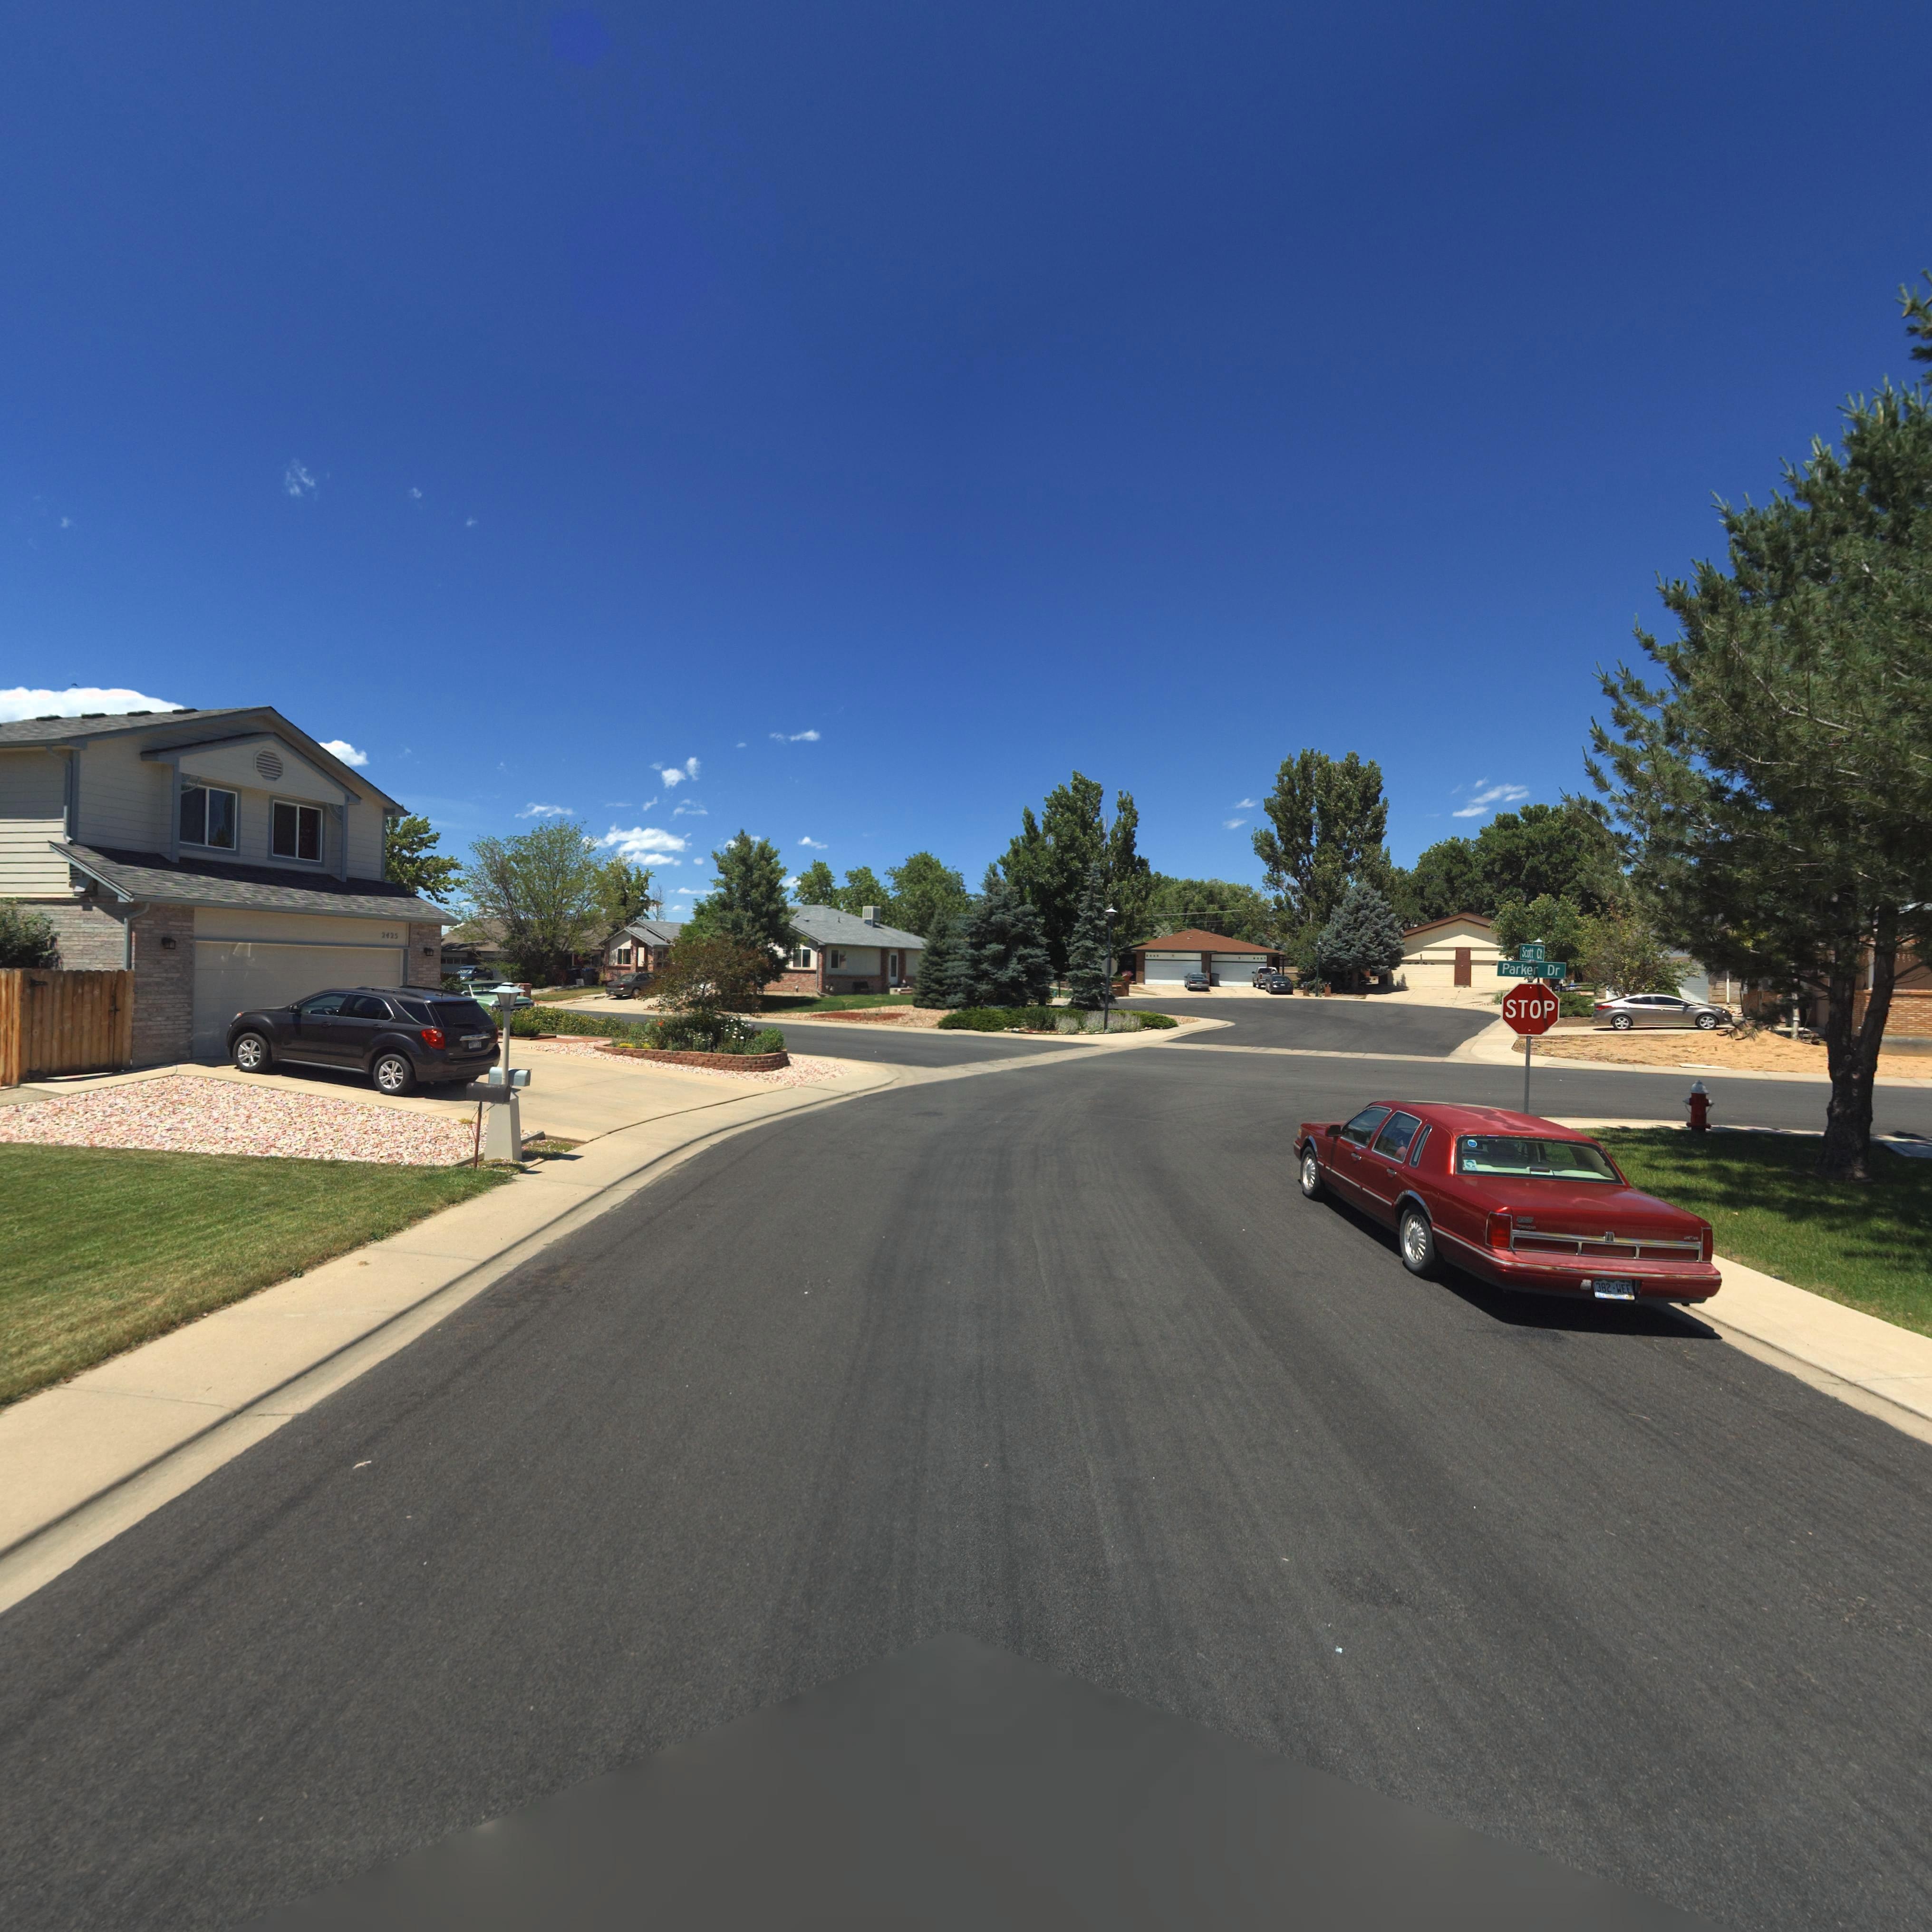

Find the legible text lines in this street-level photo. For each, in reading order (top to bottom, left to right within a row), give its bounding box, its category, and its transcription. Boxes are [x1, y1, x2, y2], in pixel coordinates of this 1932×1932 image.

[381, 931, 398, 939] StreetNumber: 2425
[1521, 947, 1542, 959] StreetName: Scott Ct
[1502, 963, 1560, 976] StreetName: Parker Dr